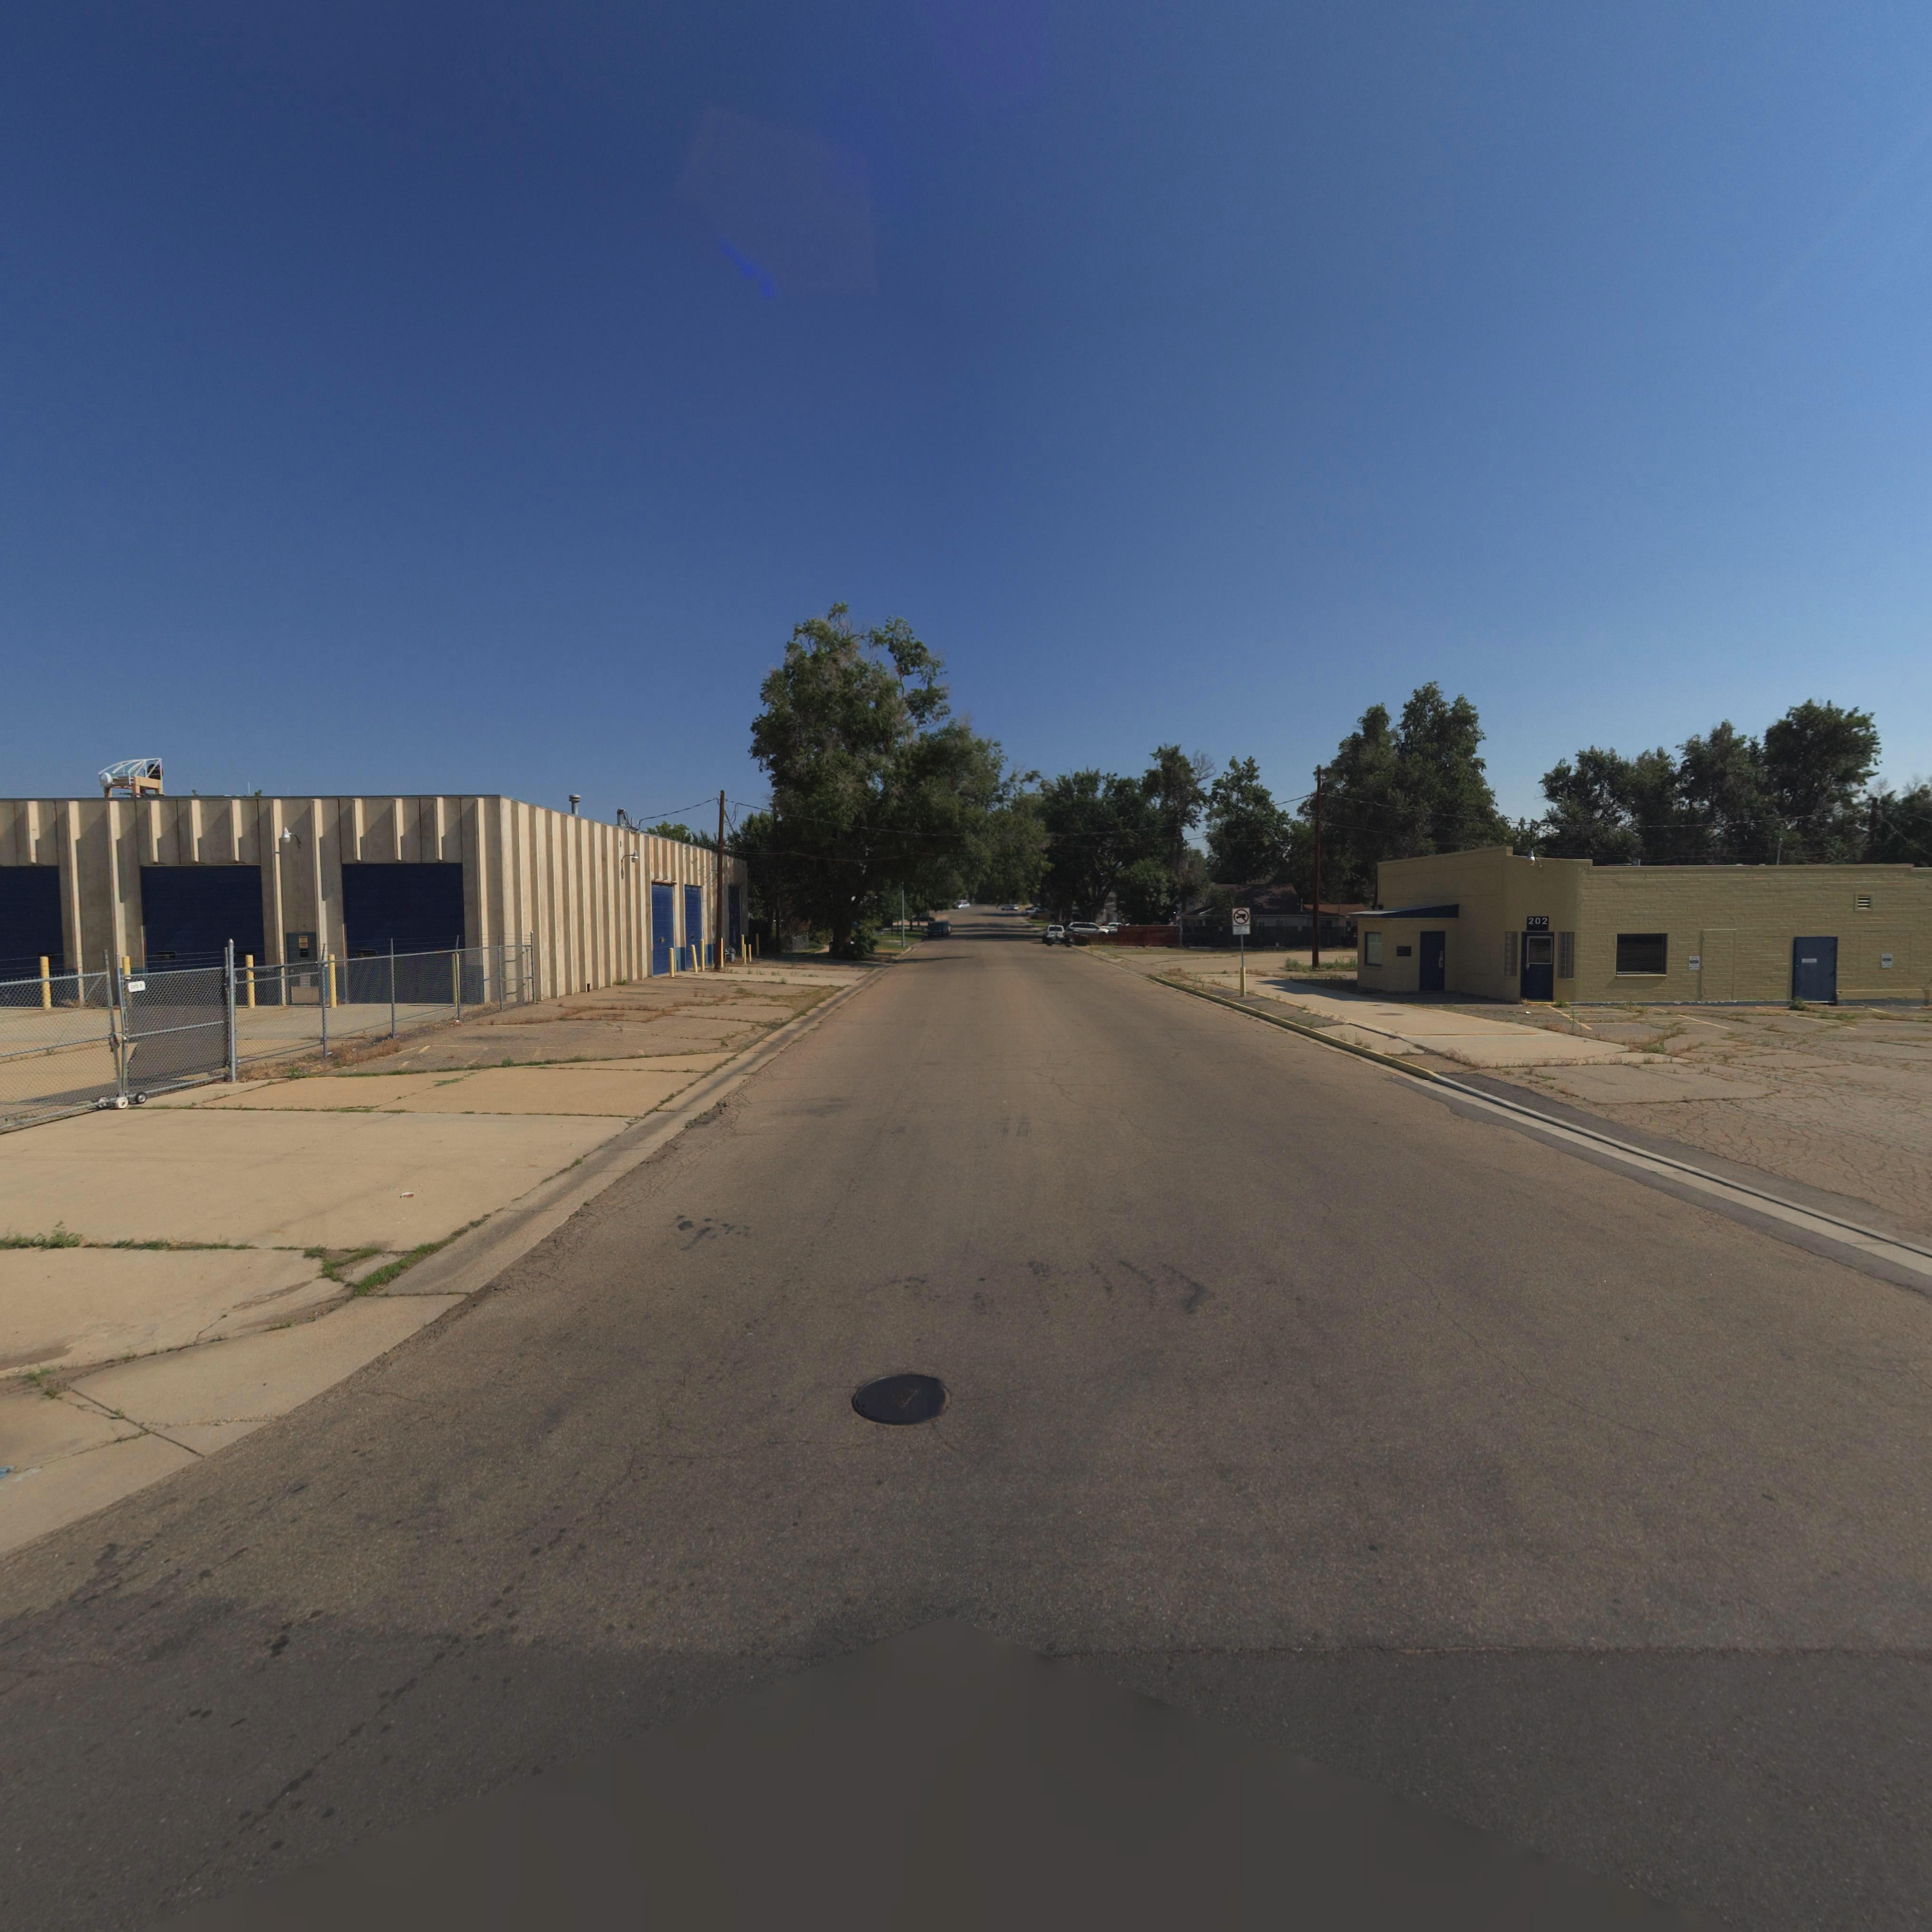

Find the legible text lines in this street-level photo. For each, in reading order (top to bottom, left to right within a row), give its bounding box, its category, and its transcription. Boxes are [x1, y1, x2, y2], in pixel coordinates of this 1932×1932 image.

[1527, 917, 1548, 925] StreetNumber: 202